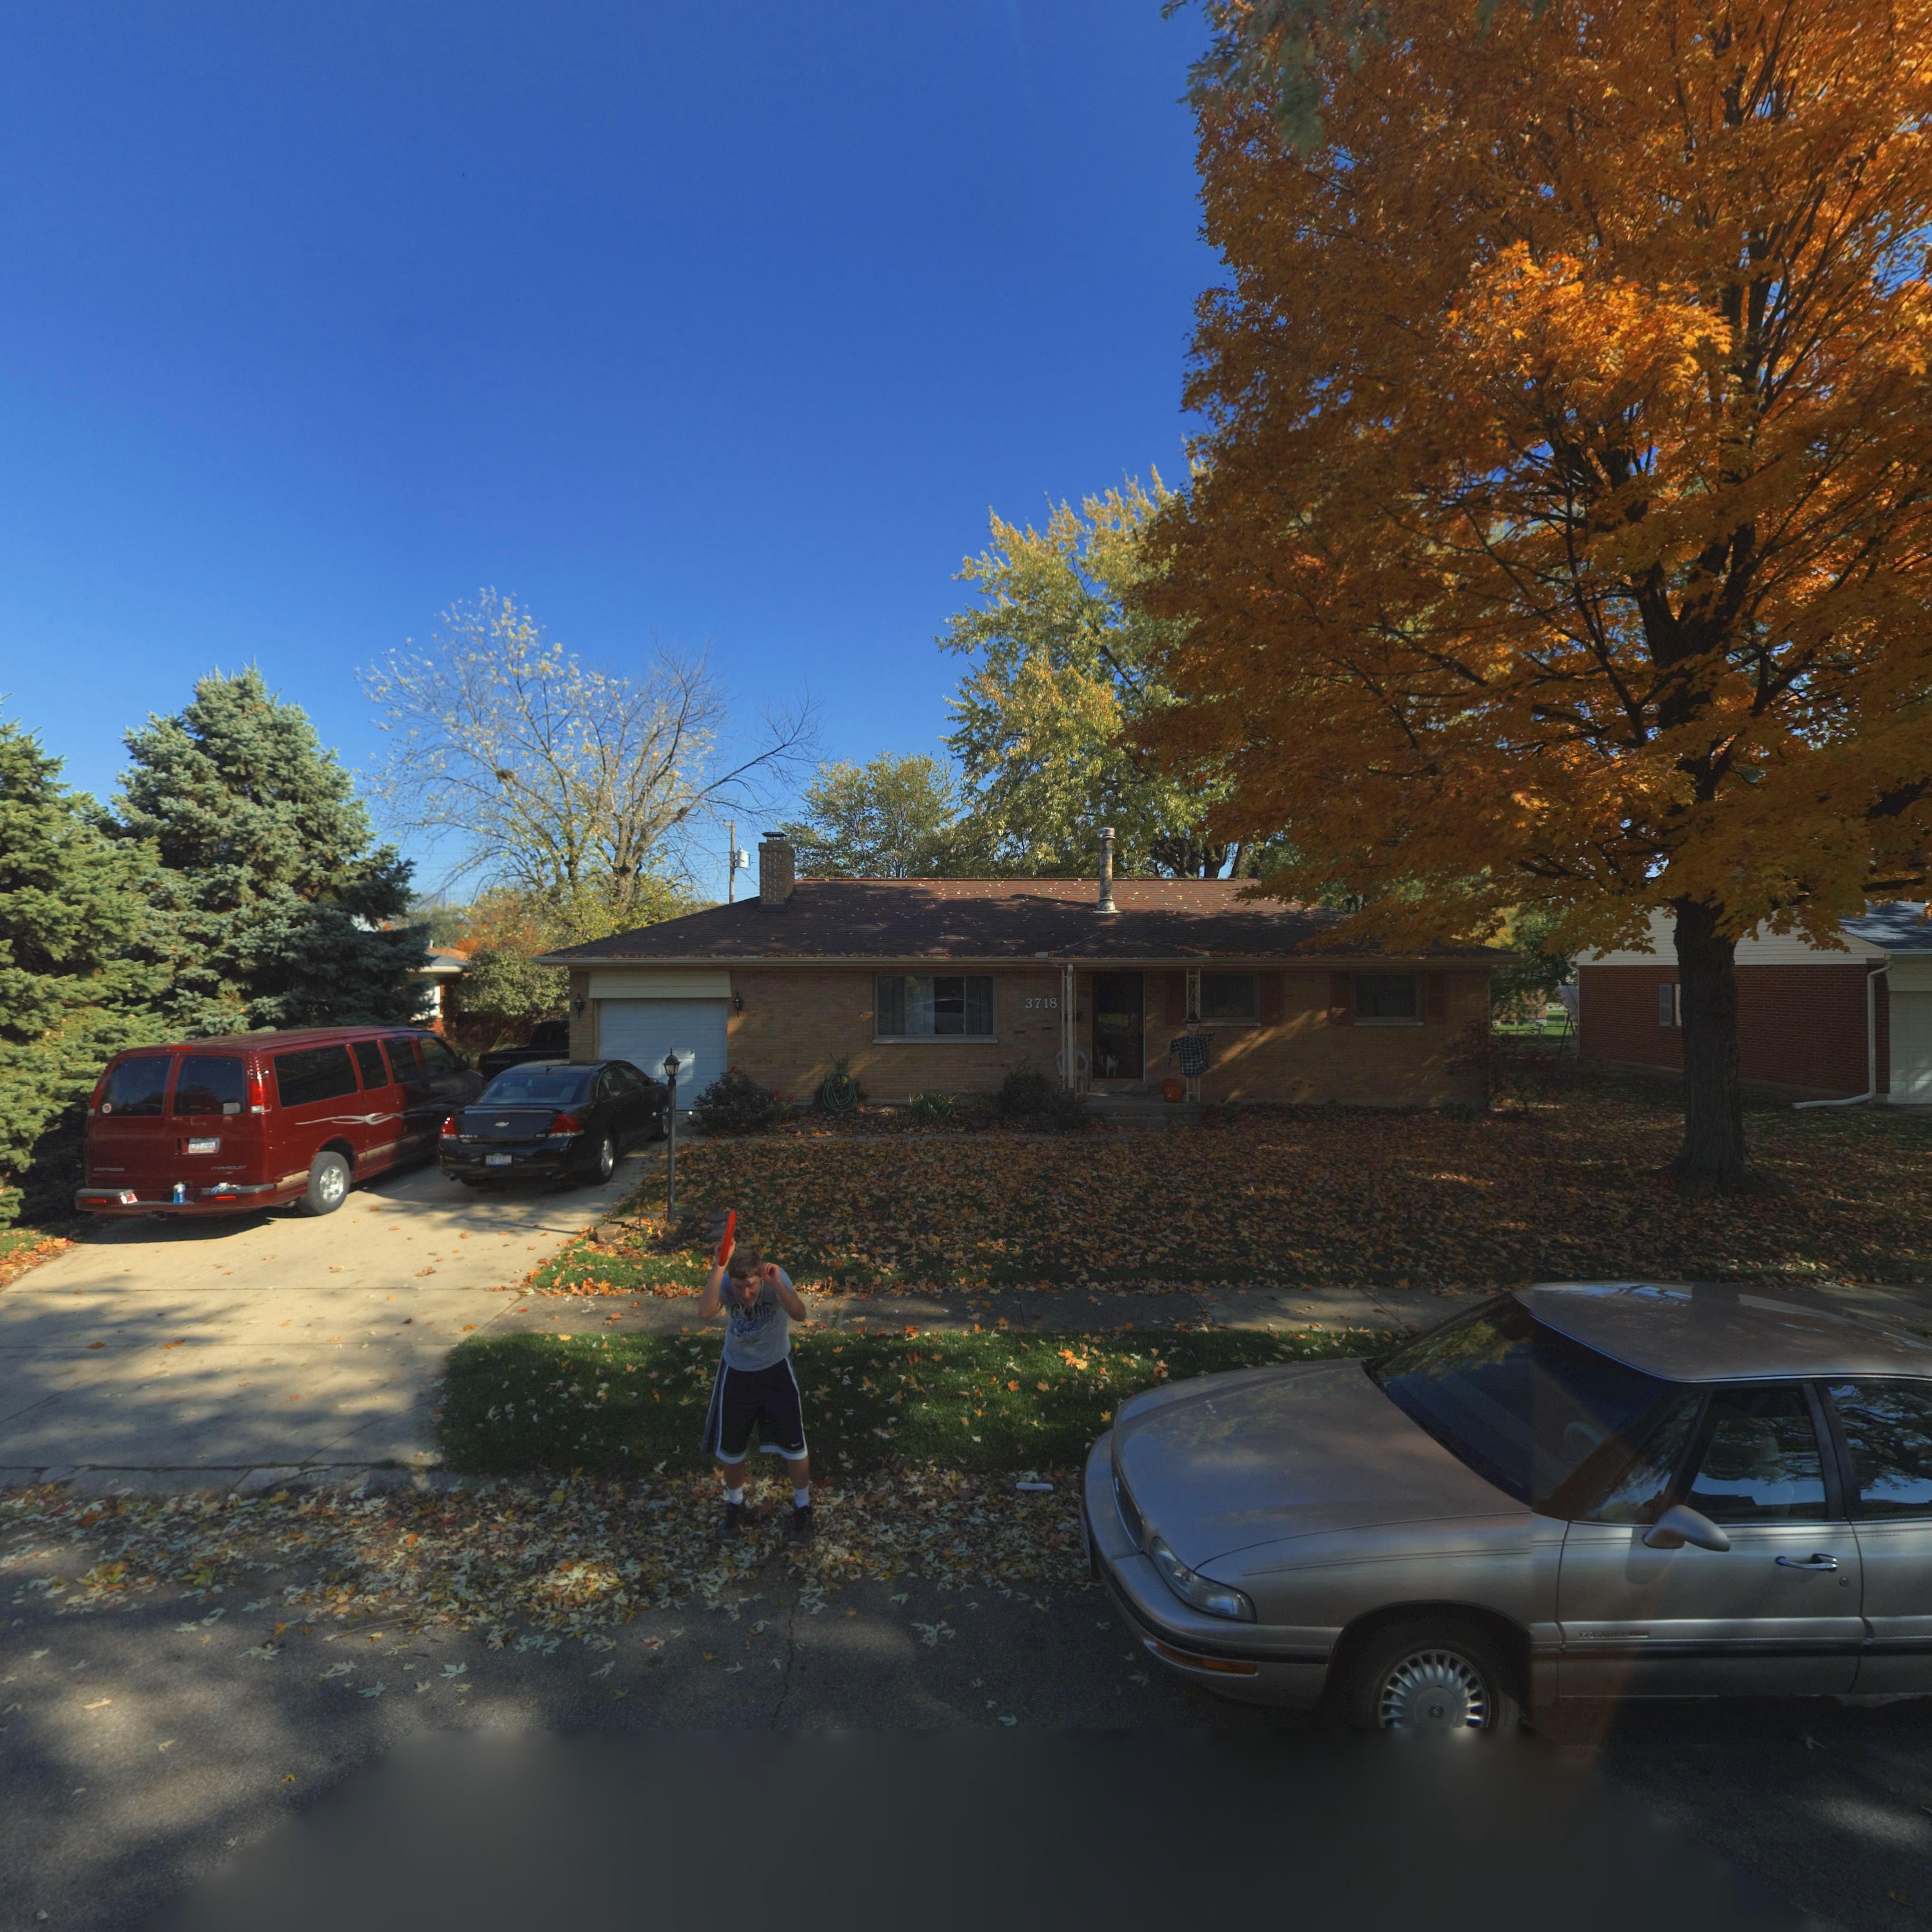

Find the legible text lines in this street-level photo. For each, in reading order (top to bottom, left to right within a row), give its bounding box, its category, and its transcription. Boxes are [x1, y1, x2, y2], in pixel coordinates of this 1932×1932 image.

[1024, 996, 1059, 1011] StreetNumber: 3718